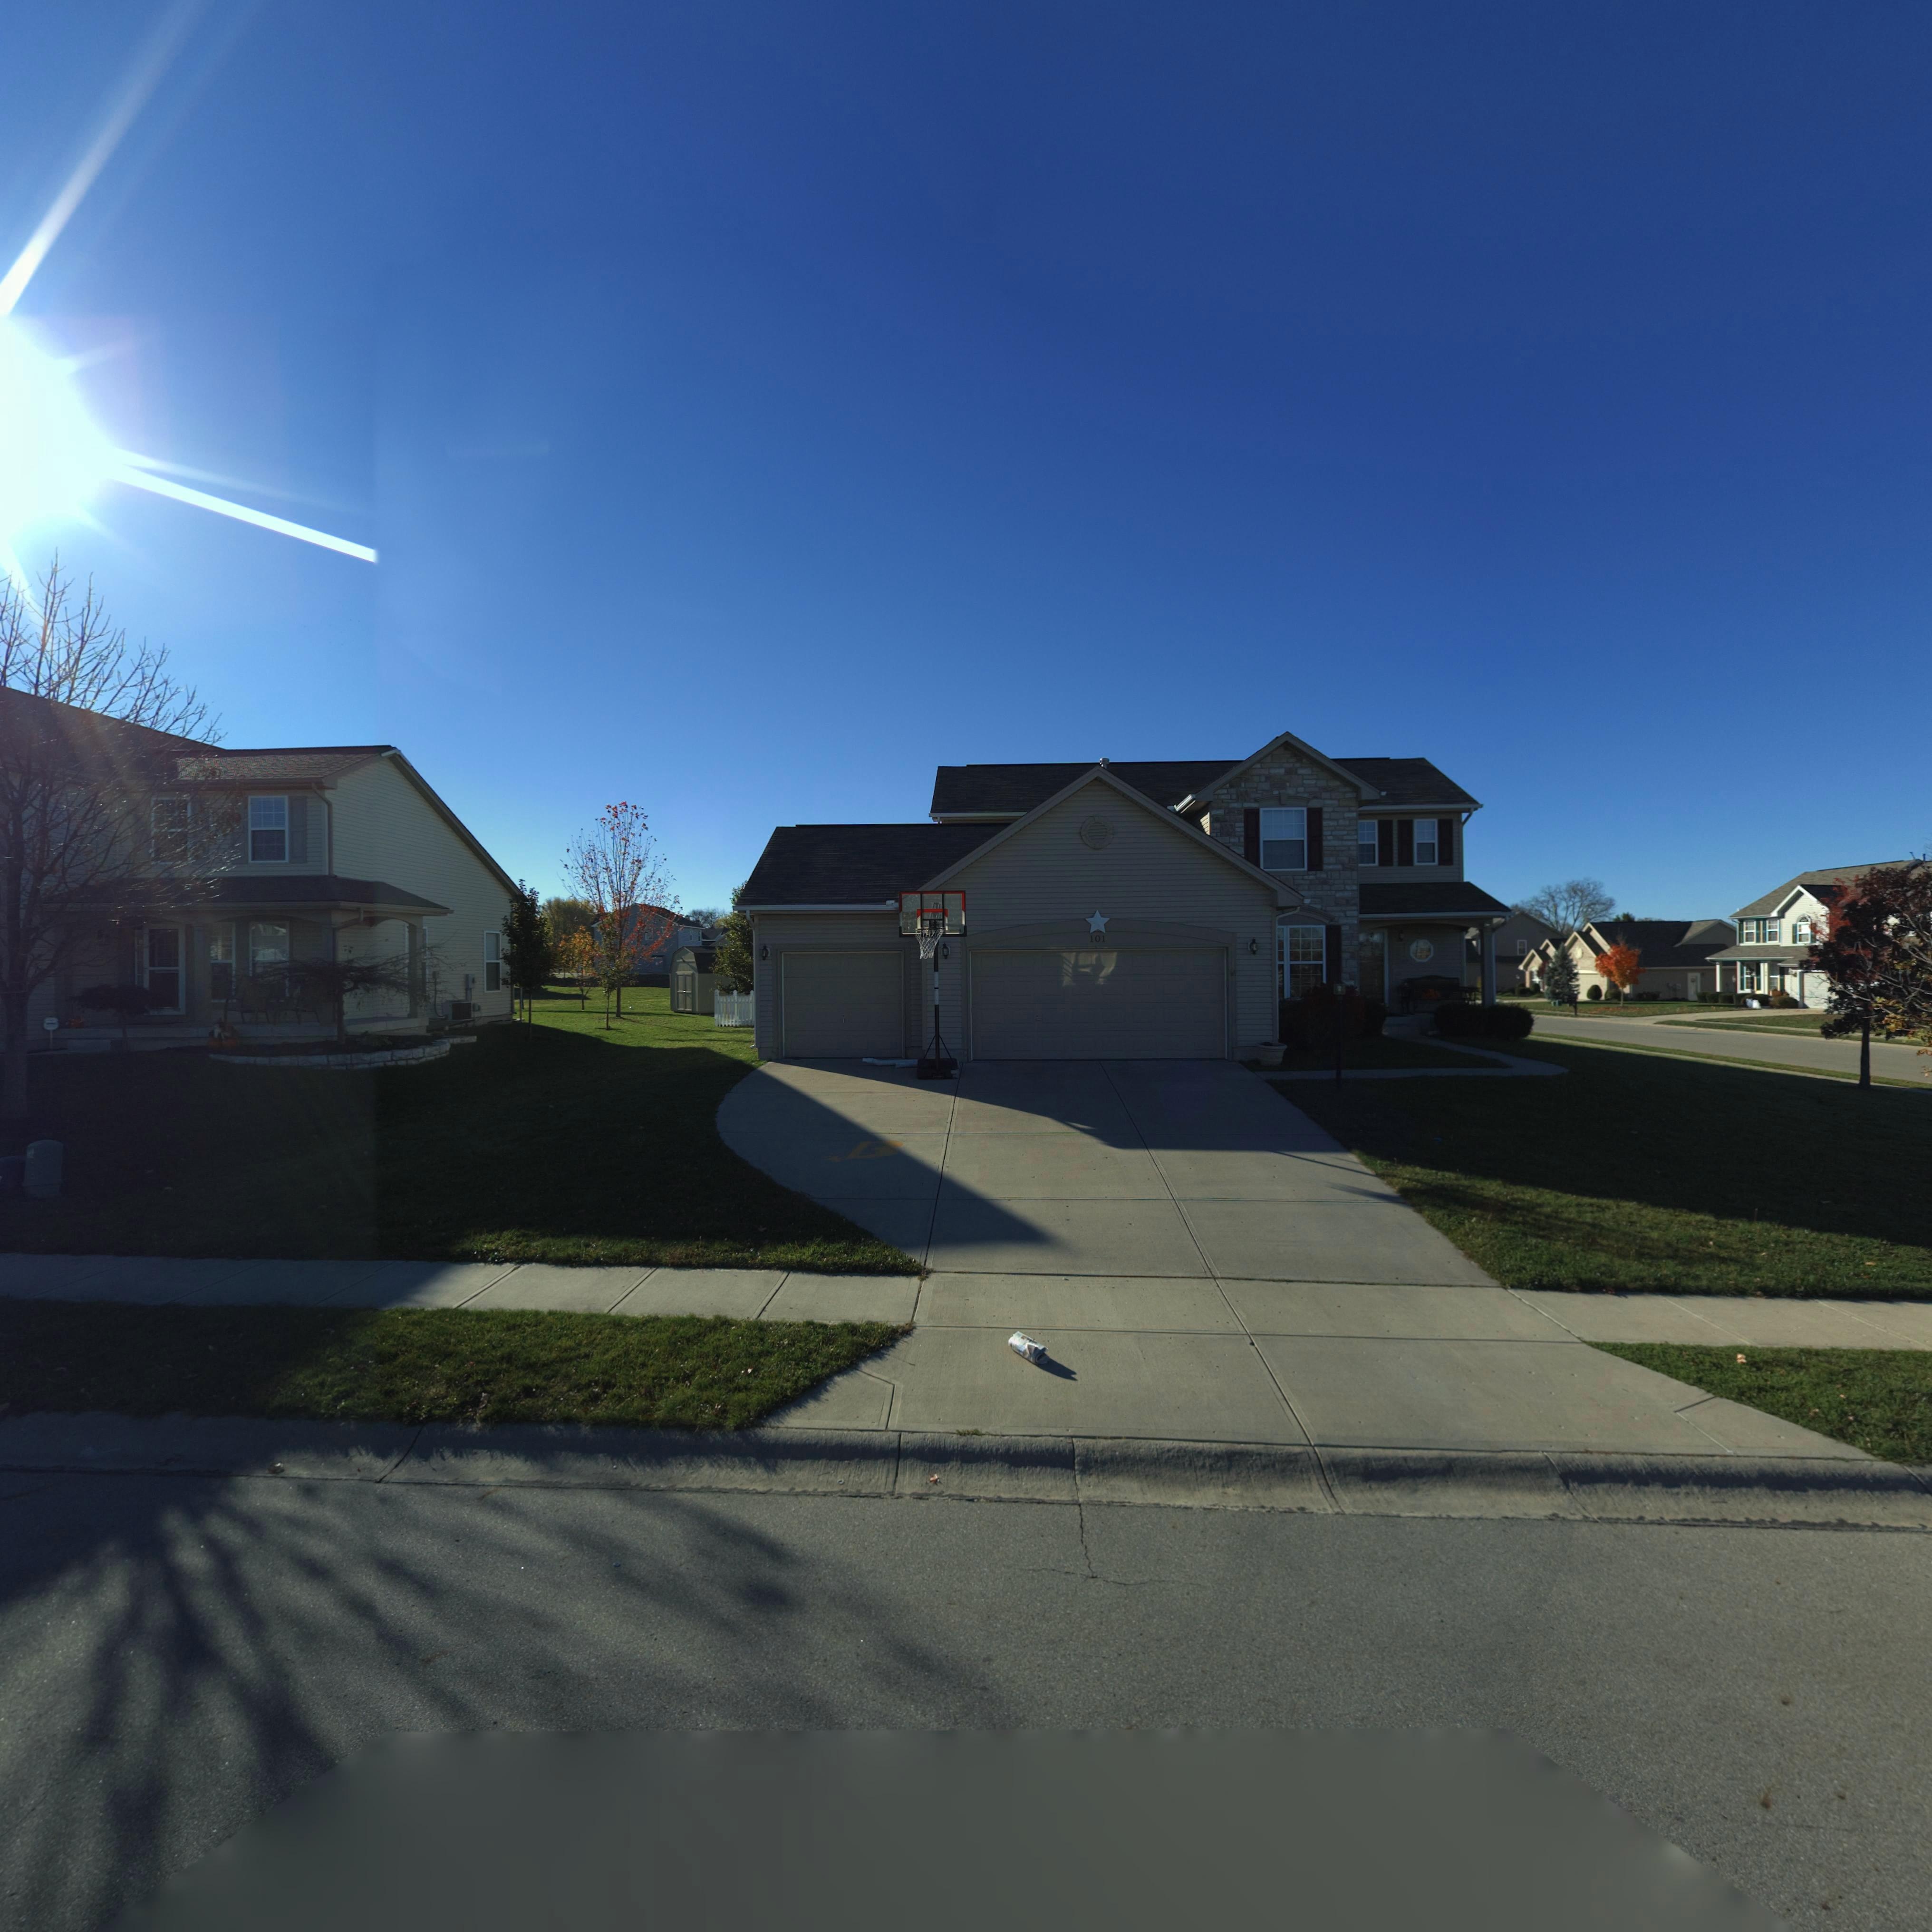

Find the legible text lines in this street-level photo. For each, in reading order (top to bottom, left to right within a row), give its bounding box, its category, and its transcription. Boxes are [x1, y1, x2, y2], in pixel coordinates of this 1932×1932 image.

[1089, 934, 1106, 944] StreetNumber: 101